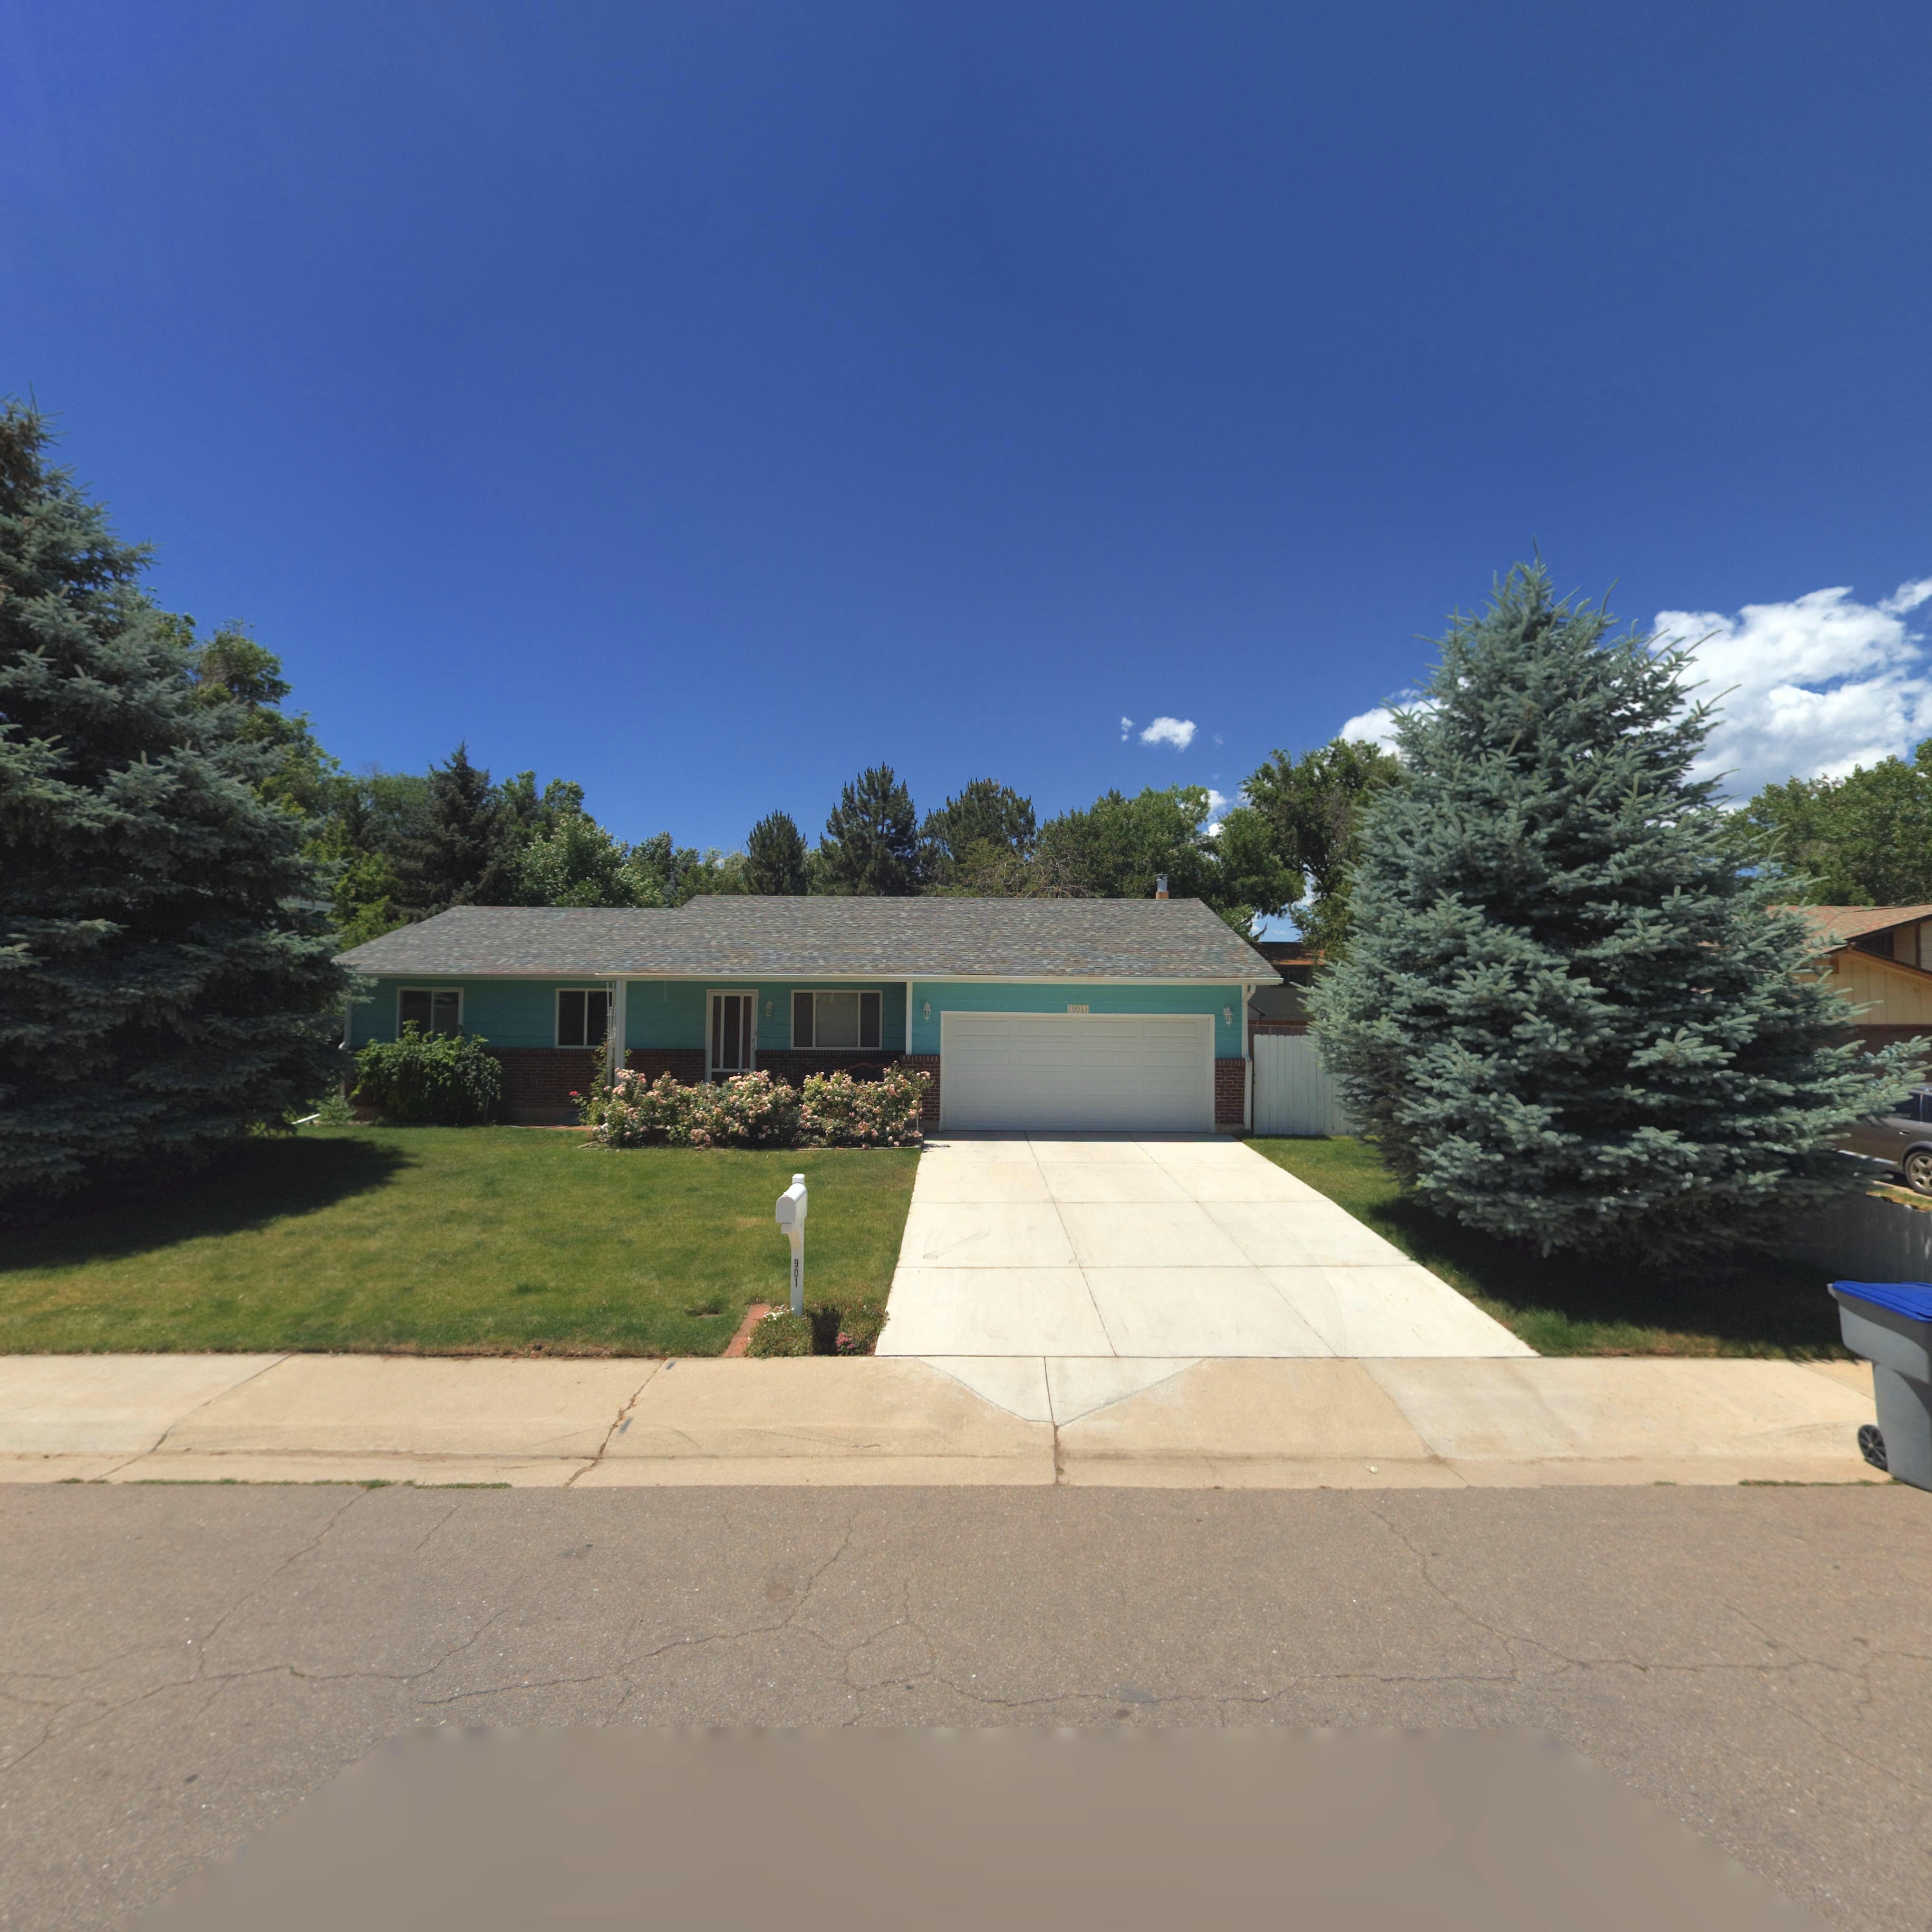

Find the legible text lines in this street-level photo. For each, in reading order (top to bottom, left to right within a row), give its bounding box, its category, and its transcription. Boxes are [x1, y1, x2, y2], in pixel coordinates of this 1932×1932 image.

[1072, 1005, 1083, 1012] StreetNumber: 901
[793, 1258, 798, 1287] StreetNumber: 901